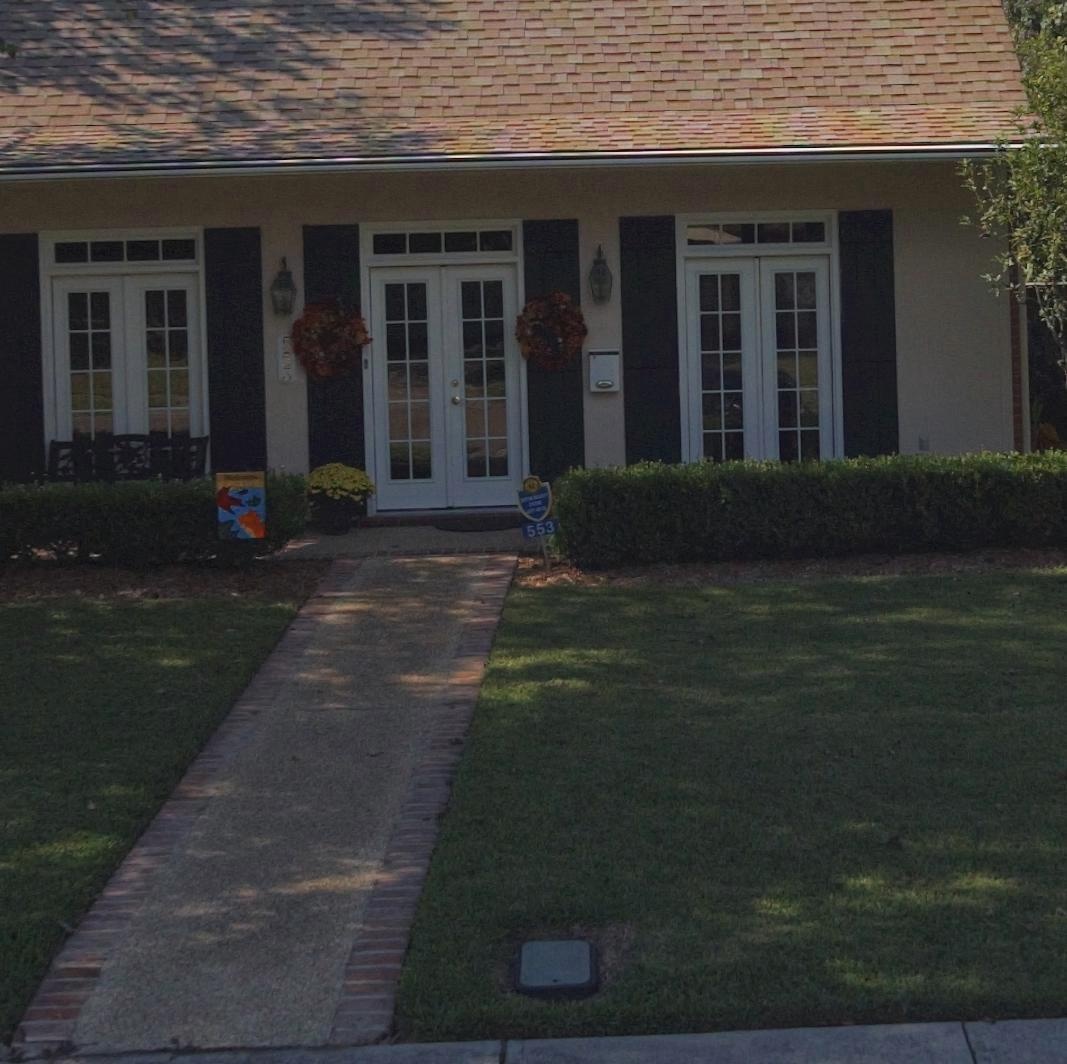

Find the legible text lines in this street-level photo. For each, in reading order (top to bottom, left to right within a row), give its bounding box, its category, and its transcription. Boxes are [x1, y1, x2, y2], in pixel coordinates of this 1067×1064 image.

[526, 519, 555, 539] StreetNumber: 553